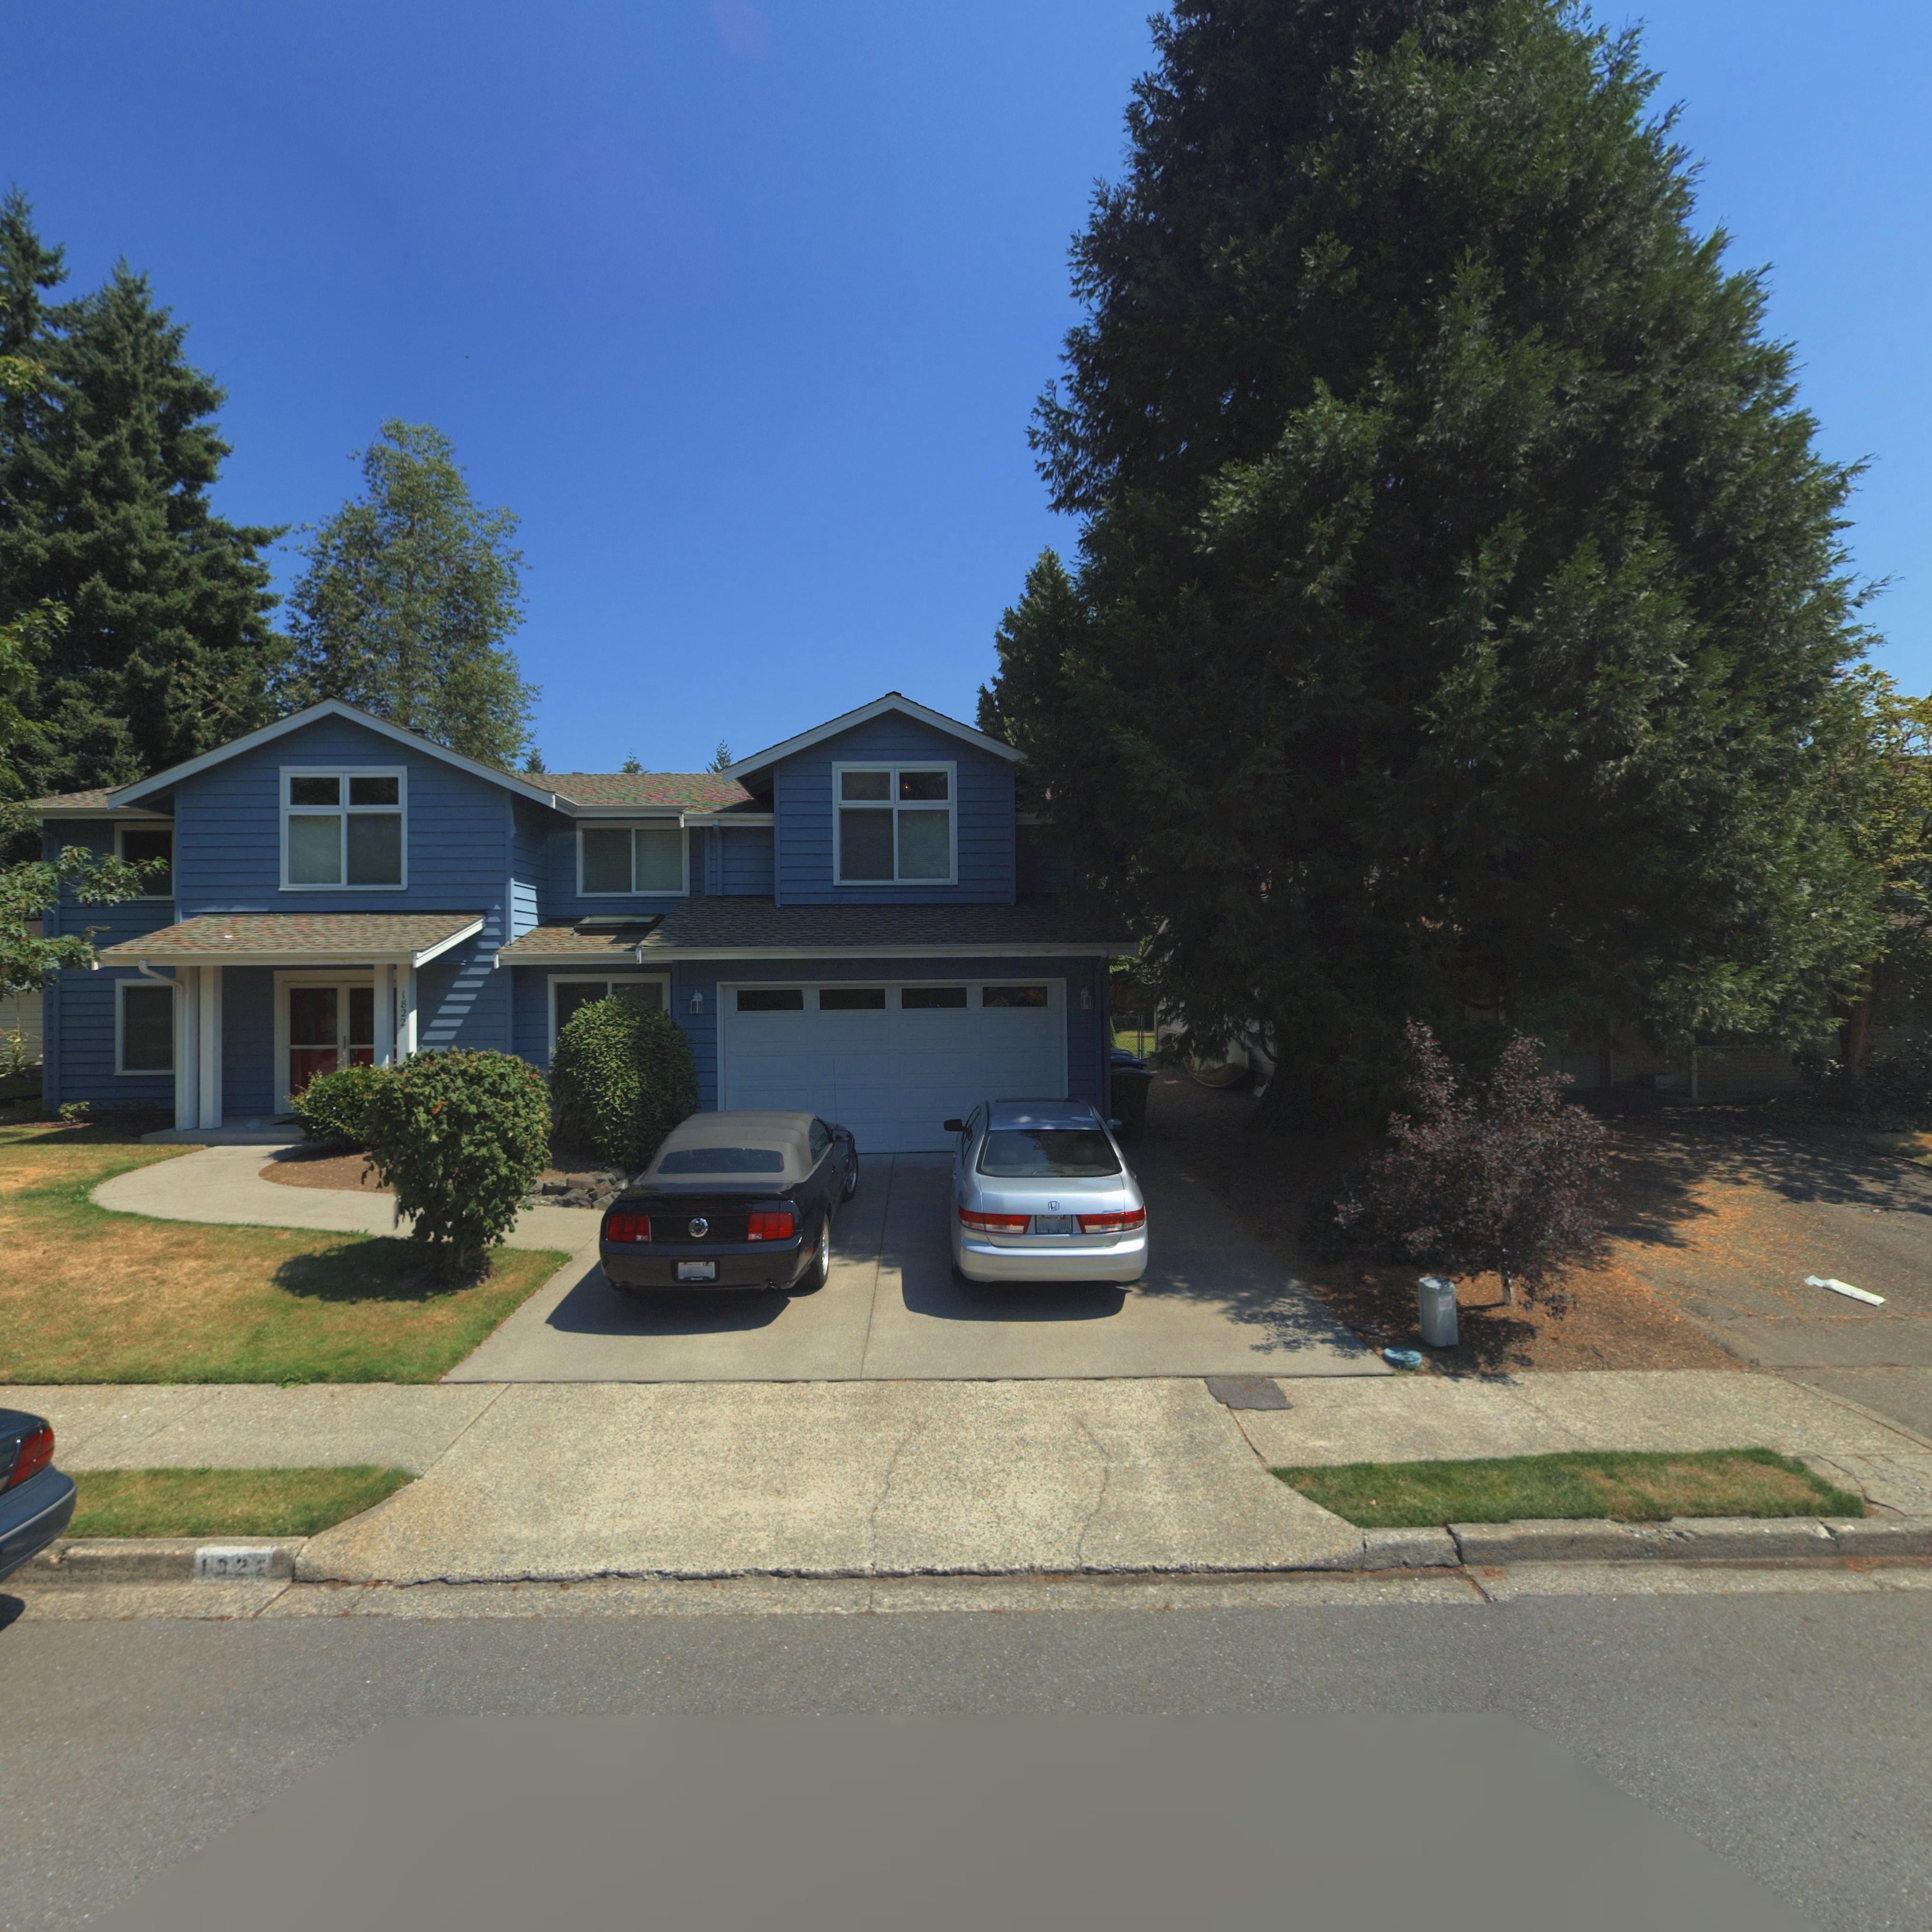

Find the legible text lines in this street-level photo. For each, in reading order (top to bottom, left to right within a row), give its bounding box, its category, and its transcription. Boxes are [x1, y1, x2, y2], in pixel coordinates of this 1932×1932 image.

[400, 989, 406, 1026] StreetNumber: 1822
[200, 1555, 207, 1578] StreetNumber: 1